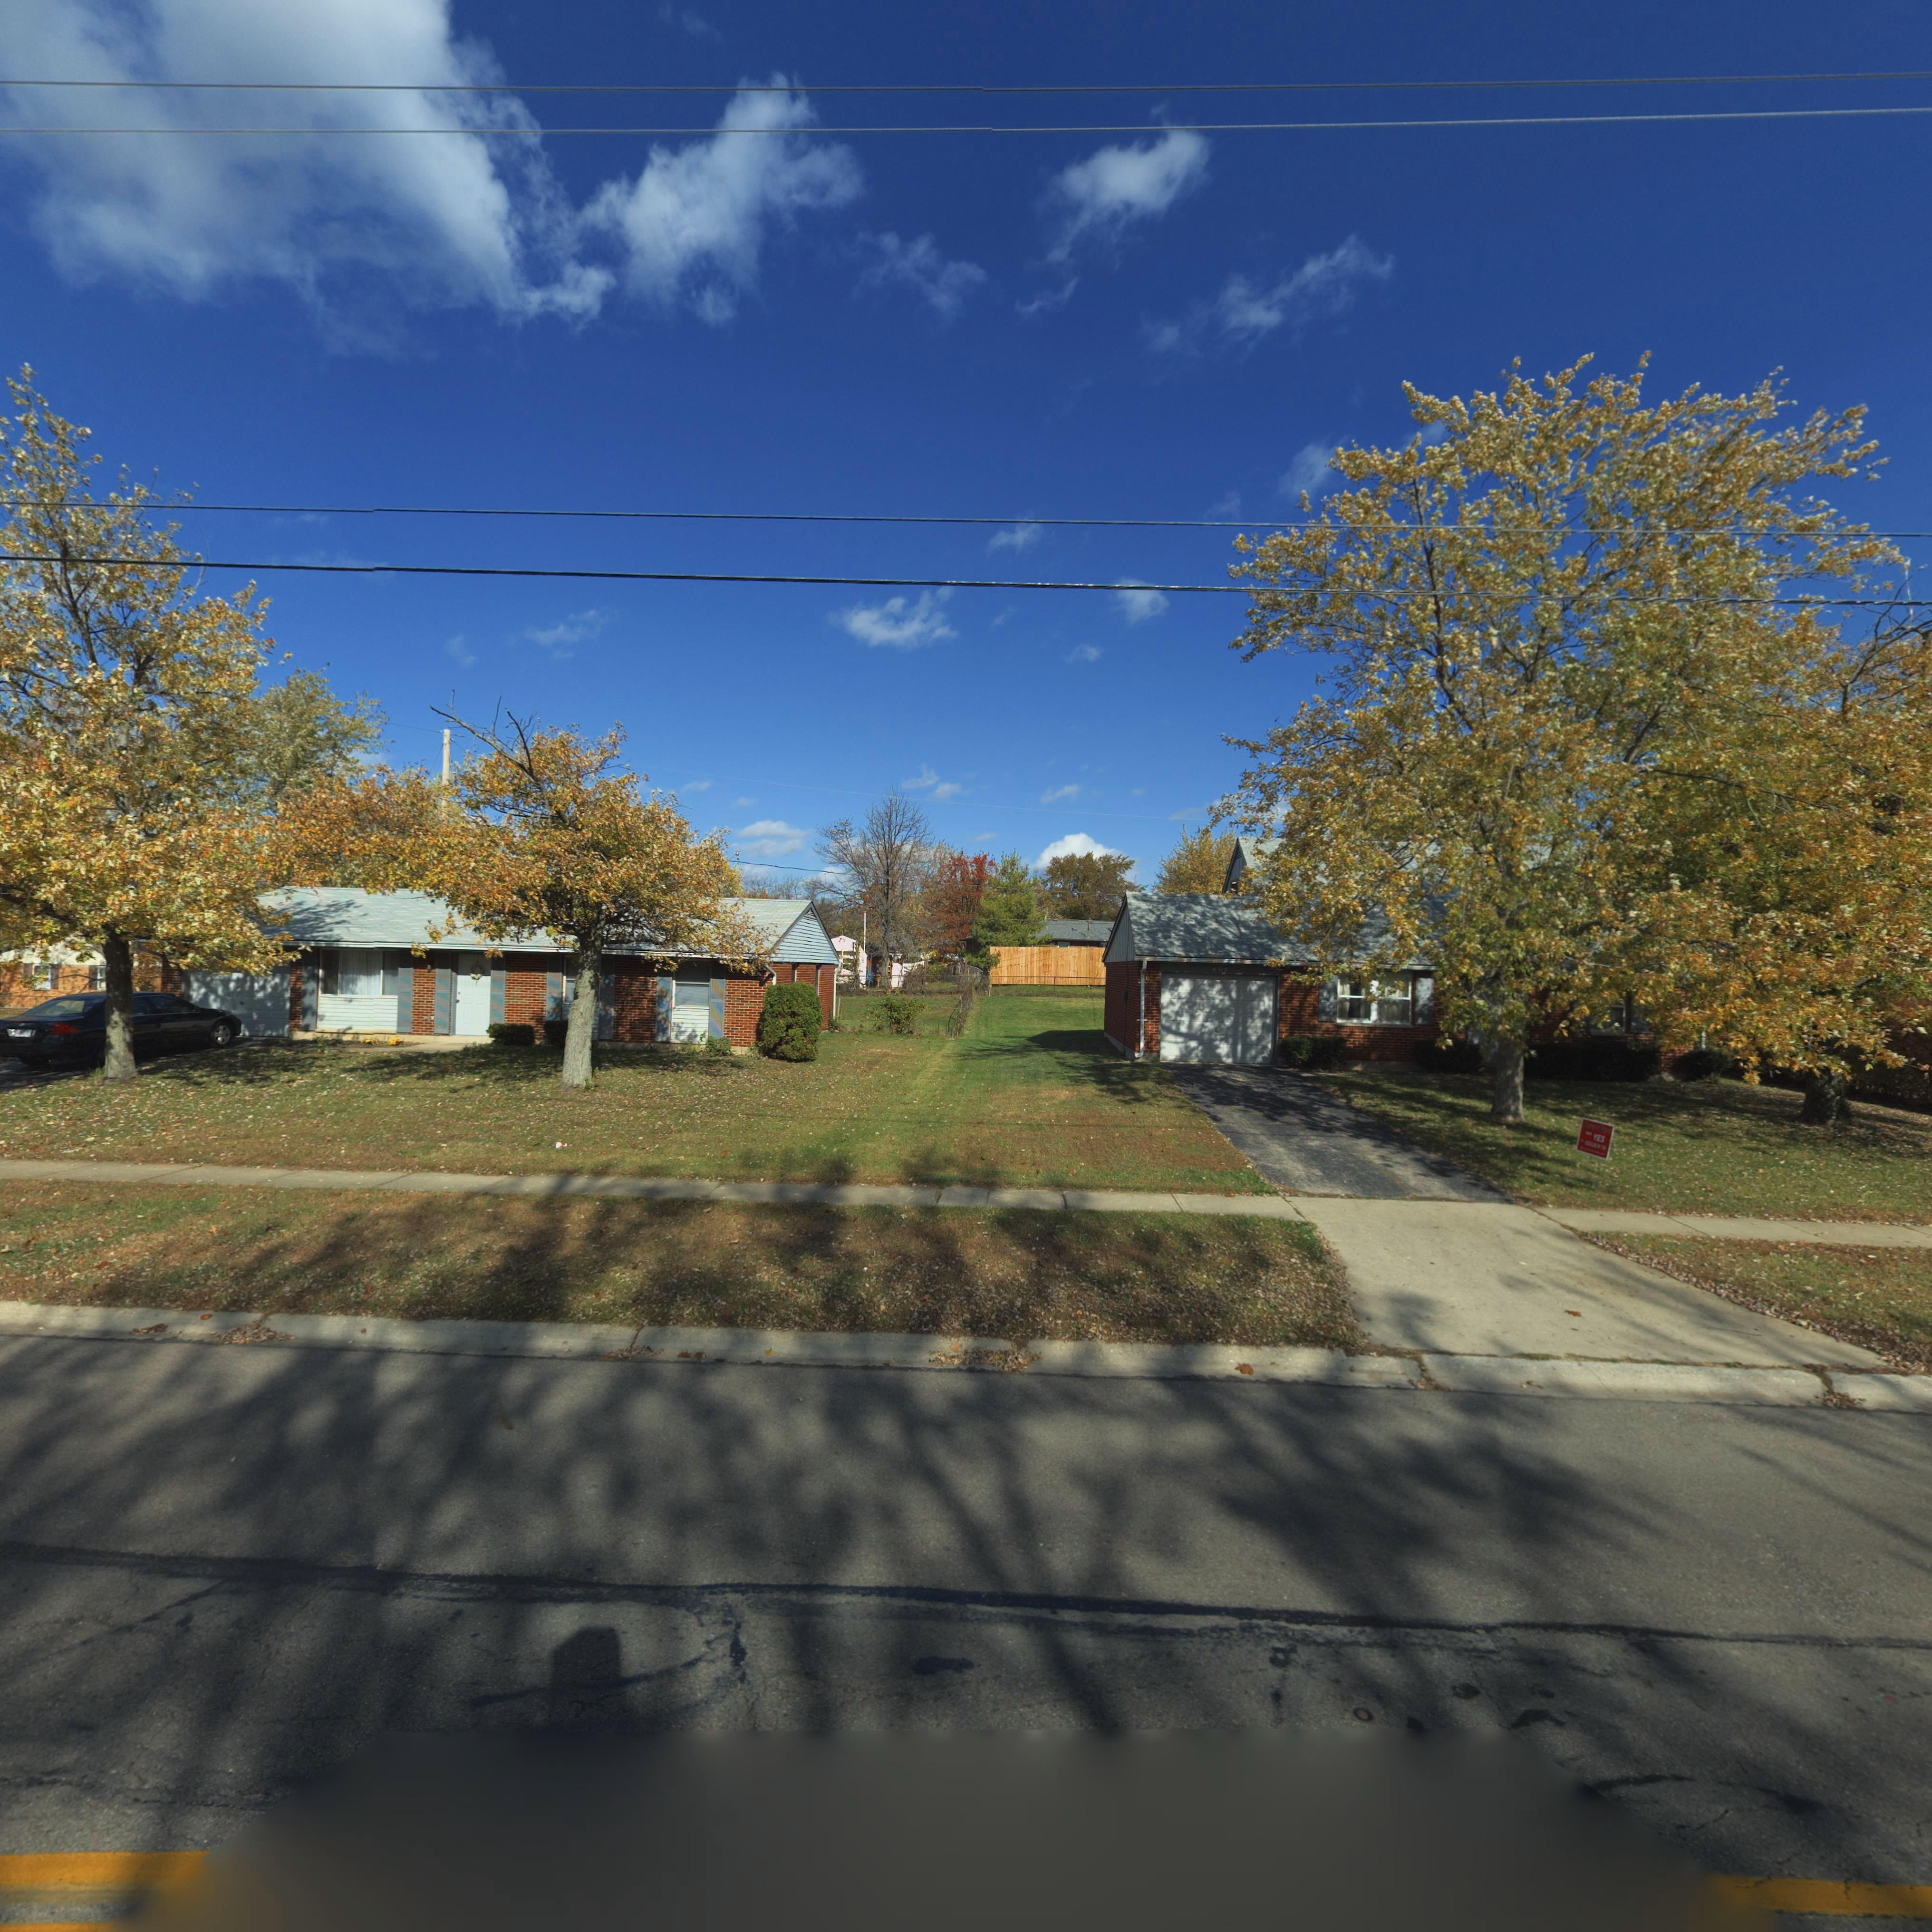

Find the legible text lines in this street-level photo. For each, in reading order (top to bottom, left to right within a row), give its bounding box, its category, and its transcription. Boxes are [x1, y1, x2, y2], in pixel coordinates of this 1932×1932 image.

[1212, 967, 1228, 972] StreetNumber: 6319